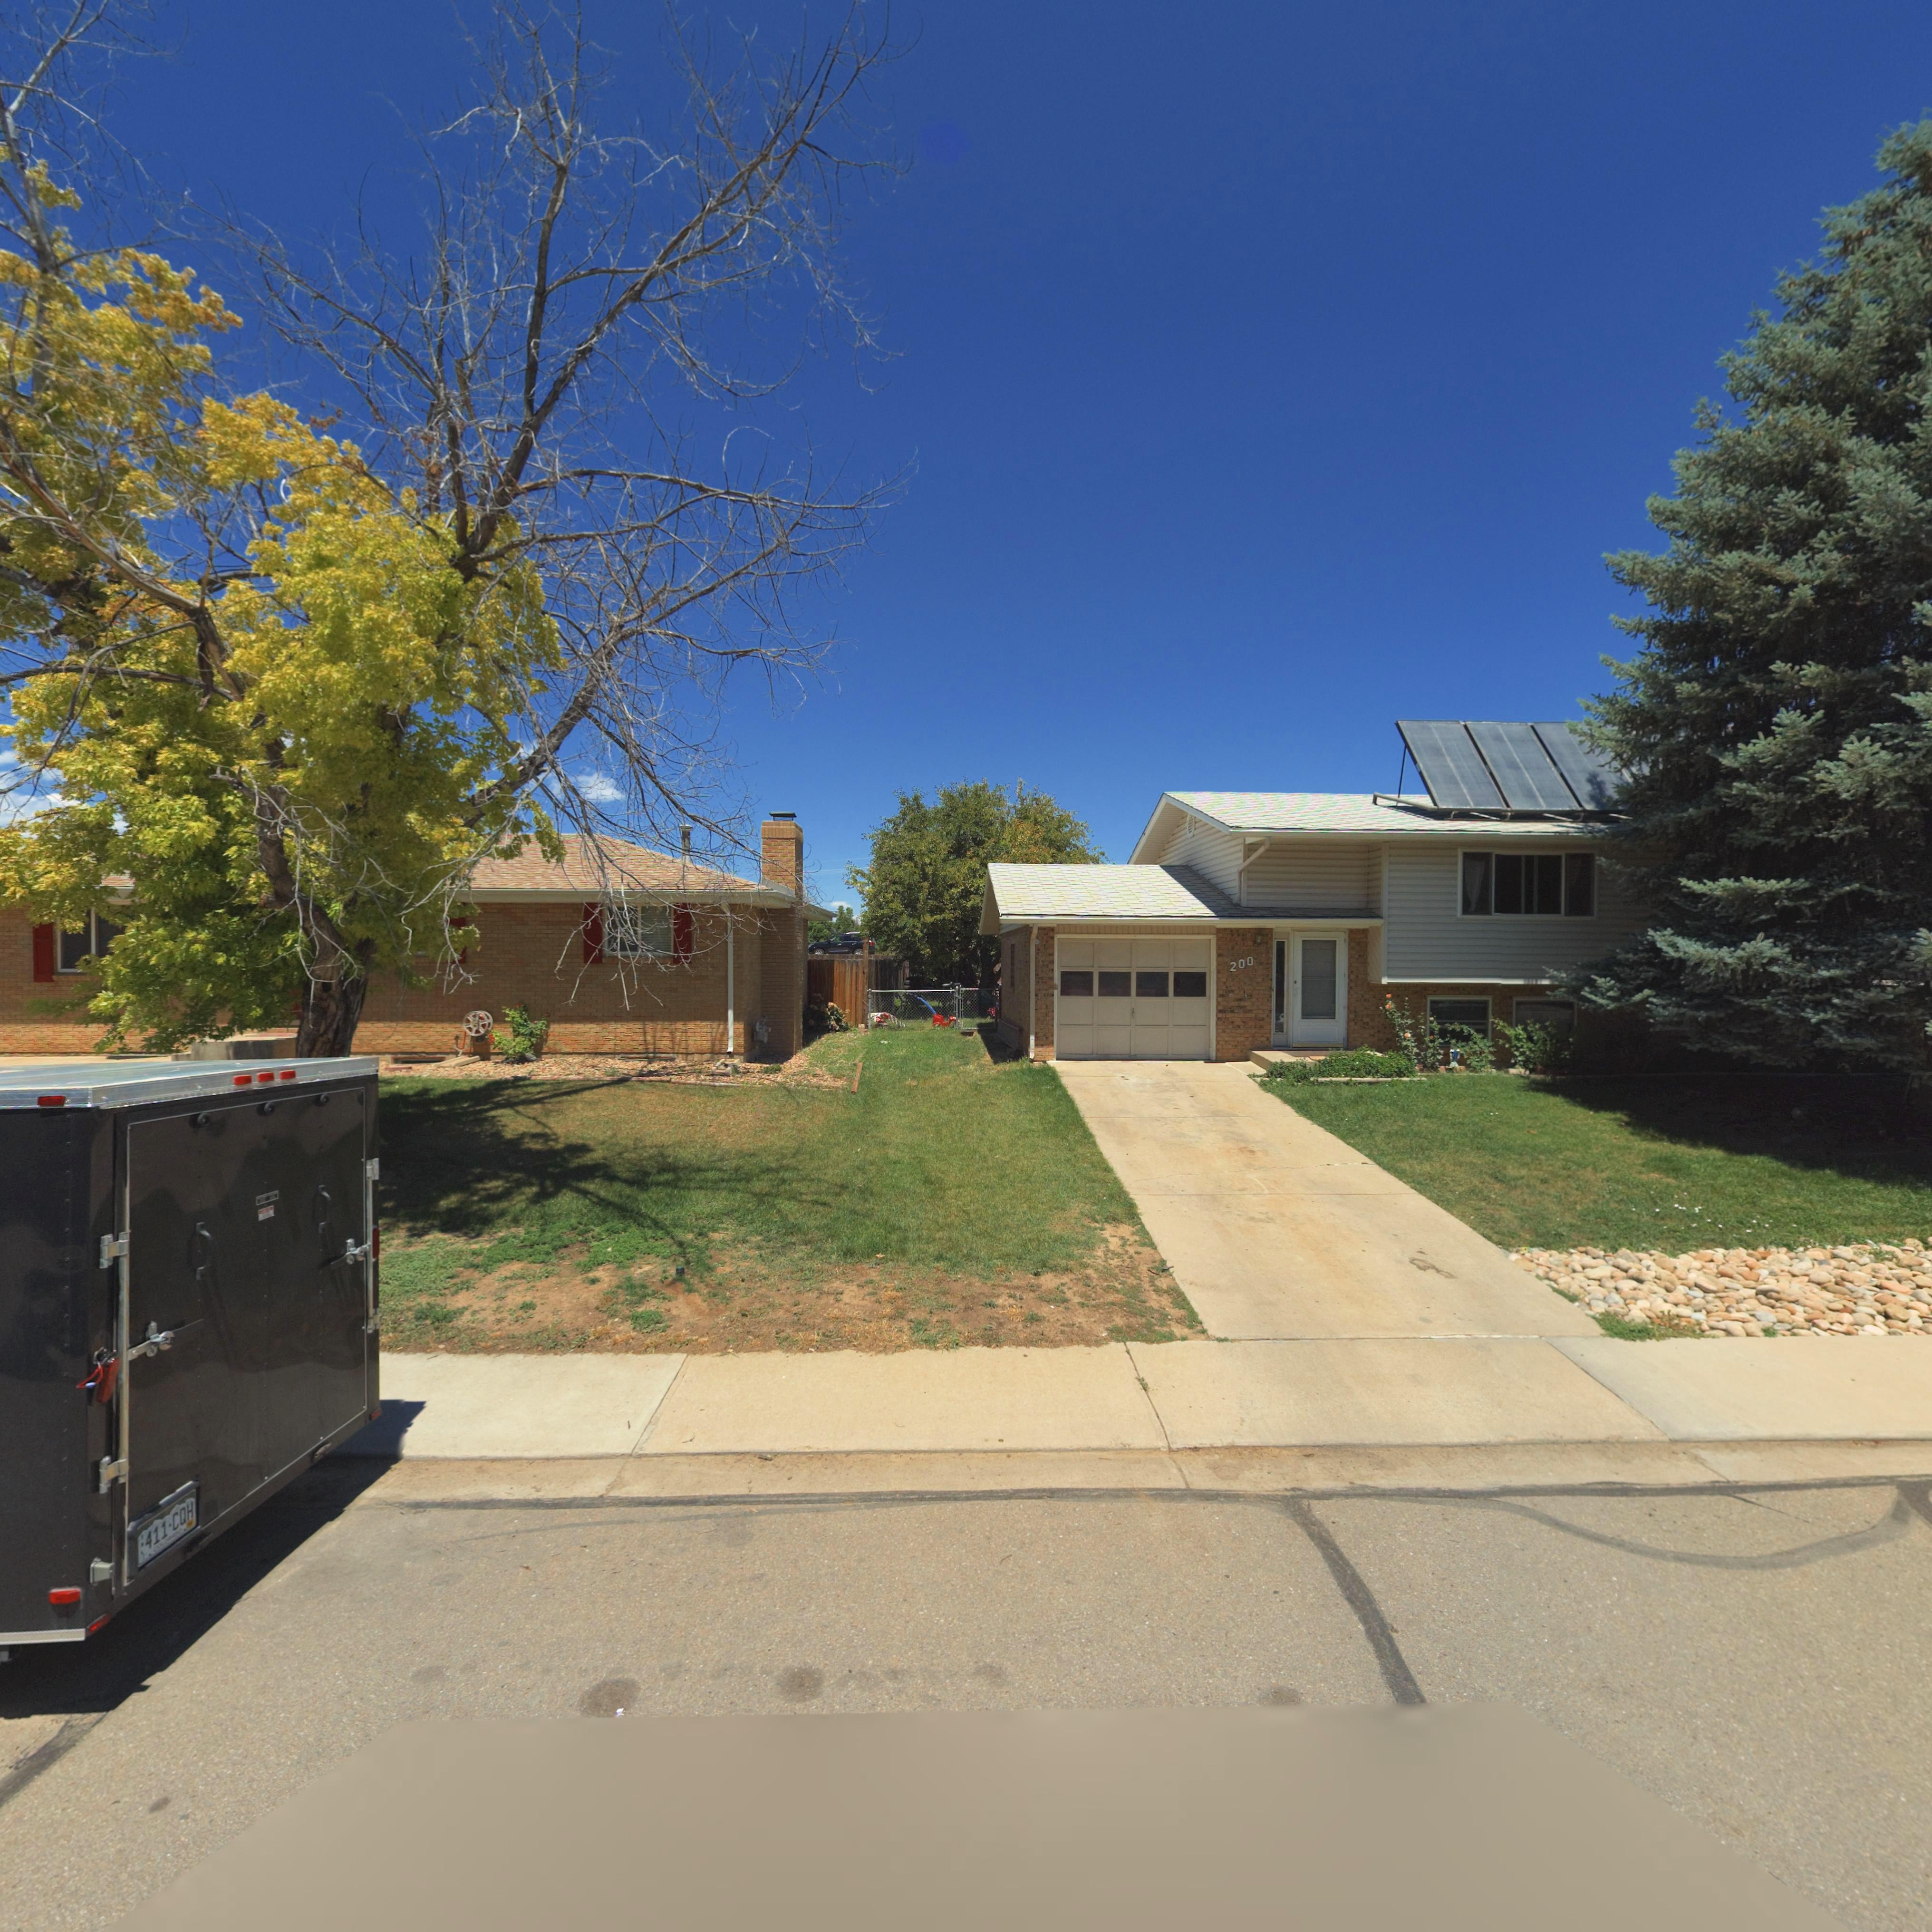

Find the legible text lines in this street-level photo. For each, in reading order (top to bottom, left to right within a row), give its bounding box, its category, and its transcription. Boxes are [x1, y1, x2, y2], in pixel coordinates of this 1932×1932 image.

[1229, 956, 1253, 971] StreetNumber: 200